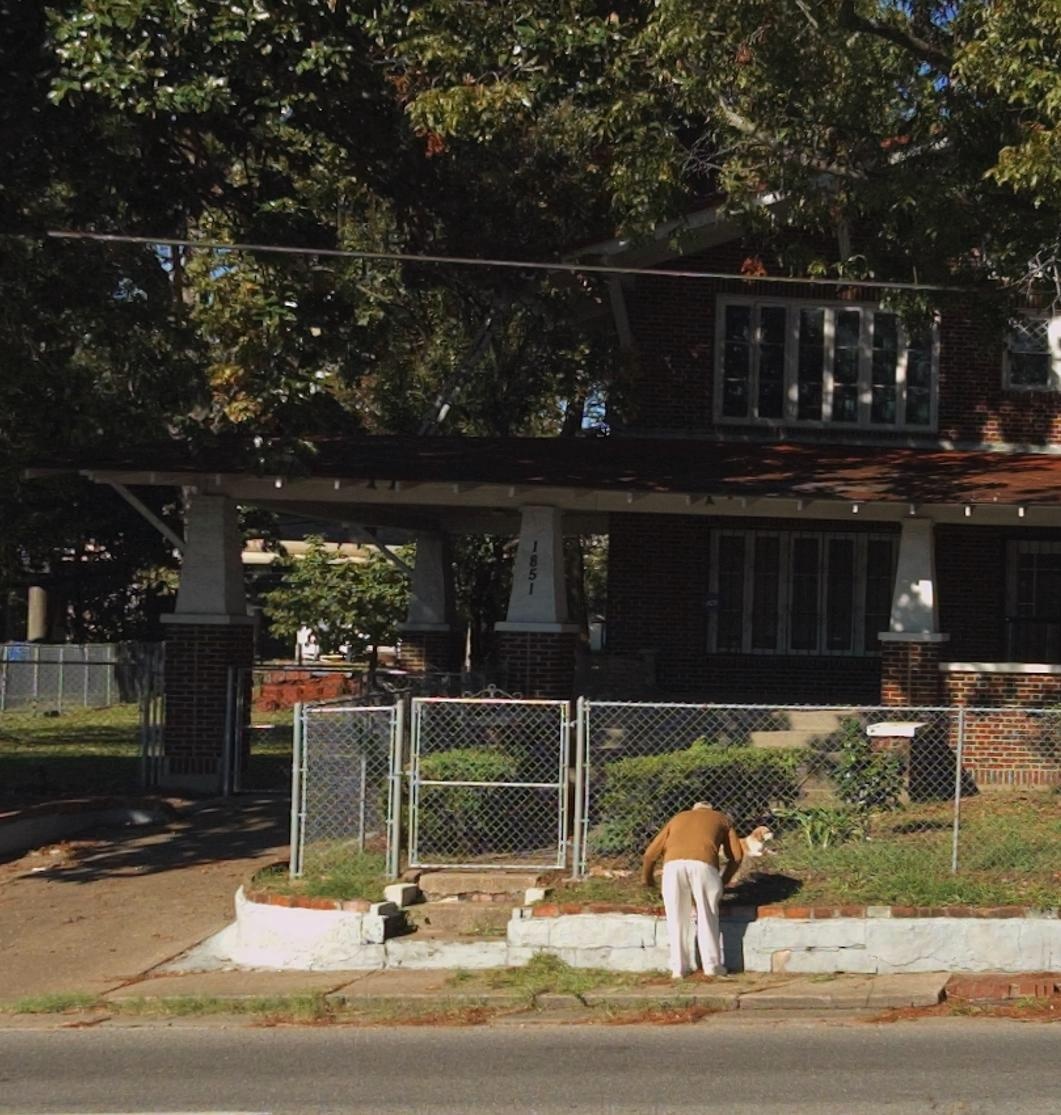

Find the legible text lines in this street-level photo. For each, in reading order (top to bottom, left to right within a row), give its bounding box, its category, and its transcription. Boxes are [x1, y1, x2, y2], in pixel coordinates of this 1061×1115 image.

[524, 538, 542, 597] StreetNumber: 1851